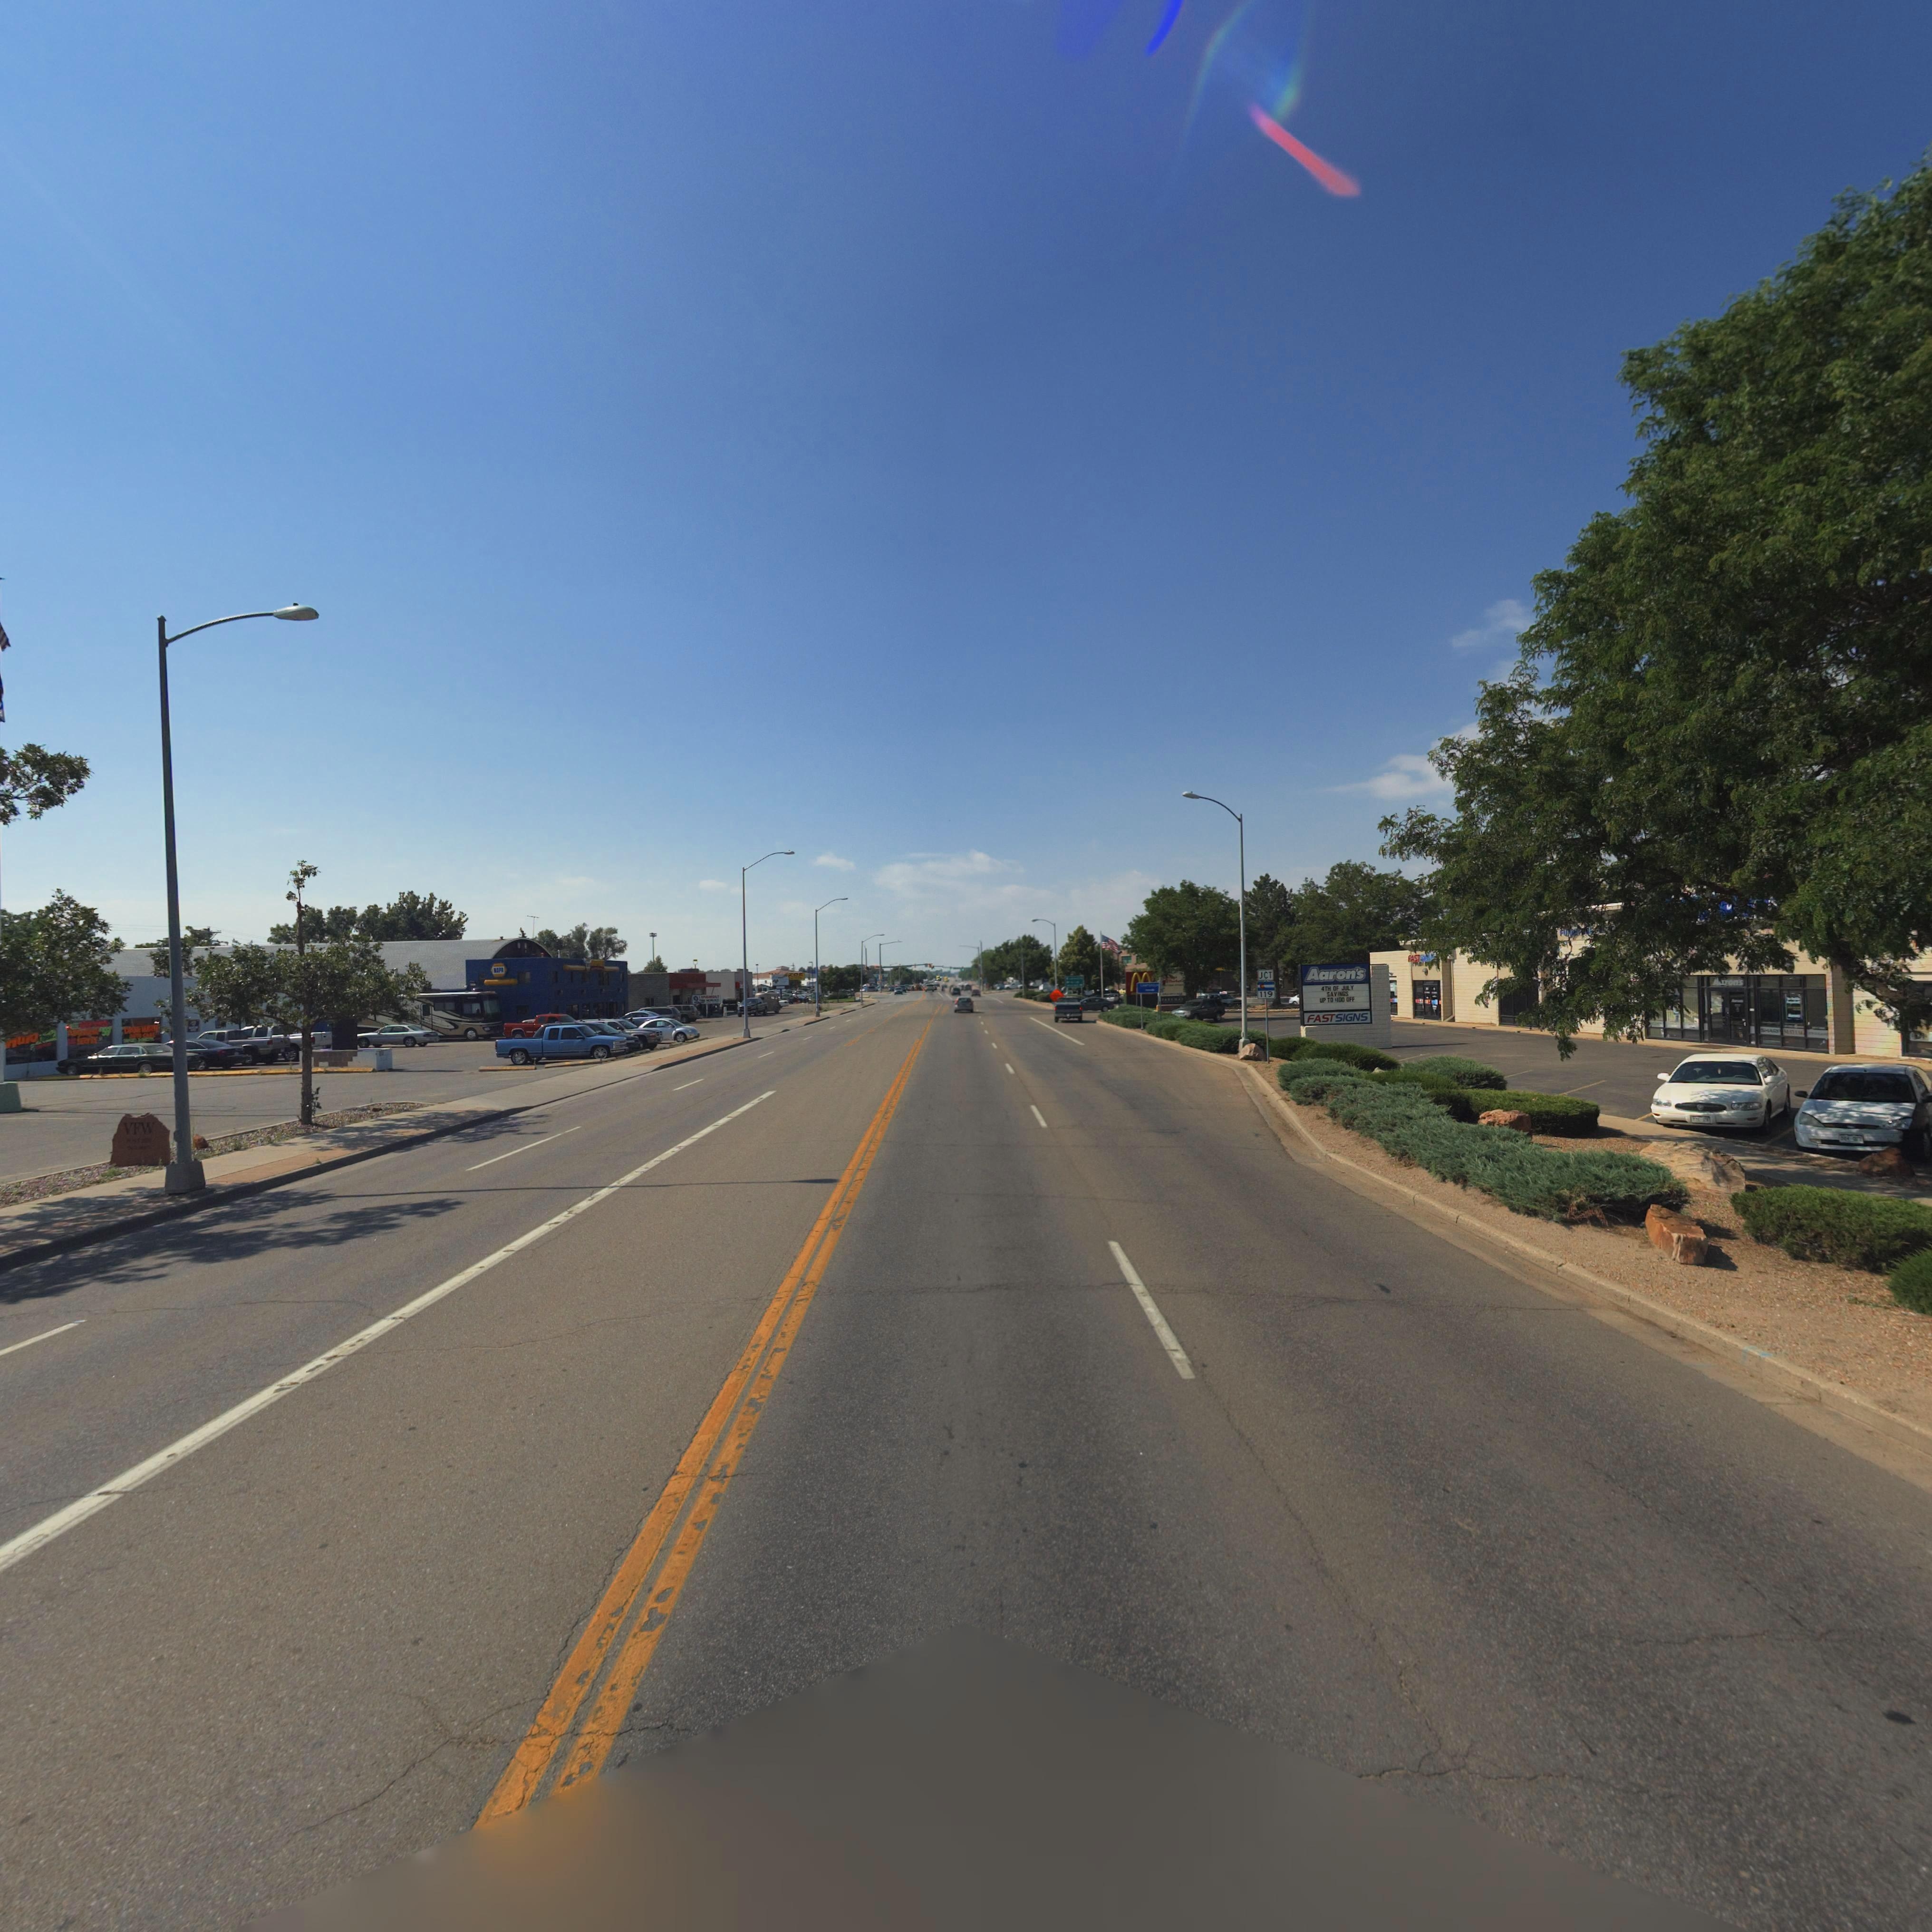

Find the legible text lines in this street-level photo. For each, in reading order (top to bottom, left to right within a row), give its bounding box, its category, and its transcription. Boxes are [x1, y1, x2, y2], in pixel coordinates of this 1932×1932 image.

[1407, 953, 1435, 962] BusinessName: FAST SIG**
[493, 967, 503, 973] BusinessName: NAPA
[788, 972, 802, 976] BusinessName: ZOE
[1304, 966, 1366, 982] BusinessName: Aaron's
[1166, 979, 1182, 983] BusinessName: Market
[1712, 976, 1744, 986] BusinessName: Aaron's
[699, 995, 719, 998] BusinessName: LONGMONT
[1731, 998, 1743, 1003] BusinessName: Aaron's
[1307, 1012, 1368, 1023] BusinessName: FAST SIGNS
[122, 1121, 155, 1135] BusinessName: VFW